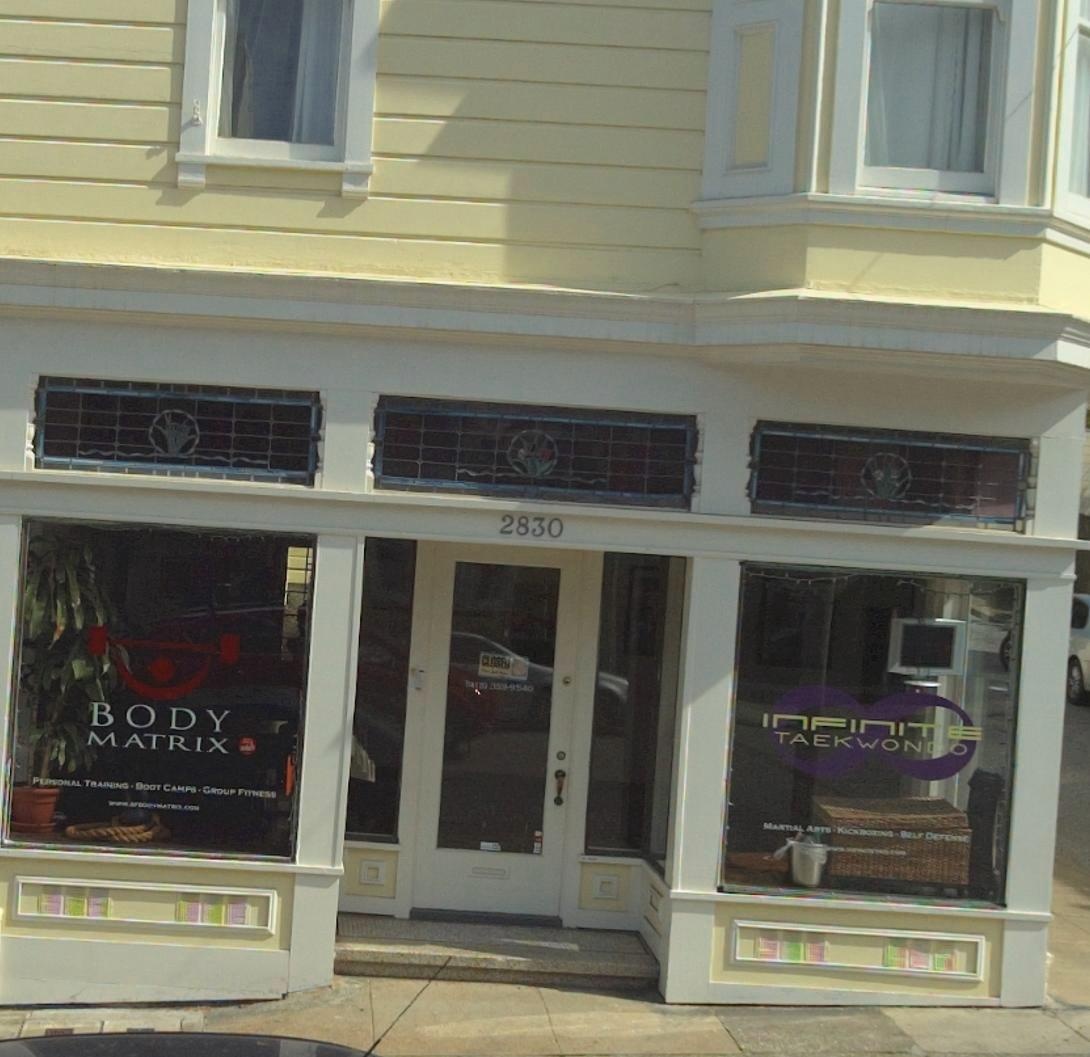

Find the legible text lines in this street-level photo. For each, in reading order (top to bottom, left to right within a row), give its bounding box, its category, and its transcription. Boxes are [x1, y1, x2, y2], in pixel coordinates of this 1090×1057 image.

[496, 512, 566, 541] StreetNumber: 2830
[479, 652, 494, 670] None: CL
[87, 698, 234, 735] BusinessName: BODY
[760, 711, 986, 744] BusinessName: INFINITE
[83, 728, 233, 757] BusinessName: MATRIX
[772, 730, 970, 758] BusinessName: TAEKWON*O
[30, 774, 279, 801] None: P***ONAL T****ING * BOOT CAMPS * GROUP F**N***